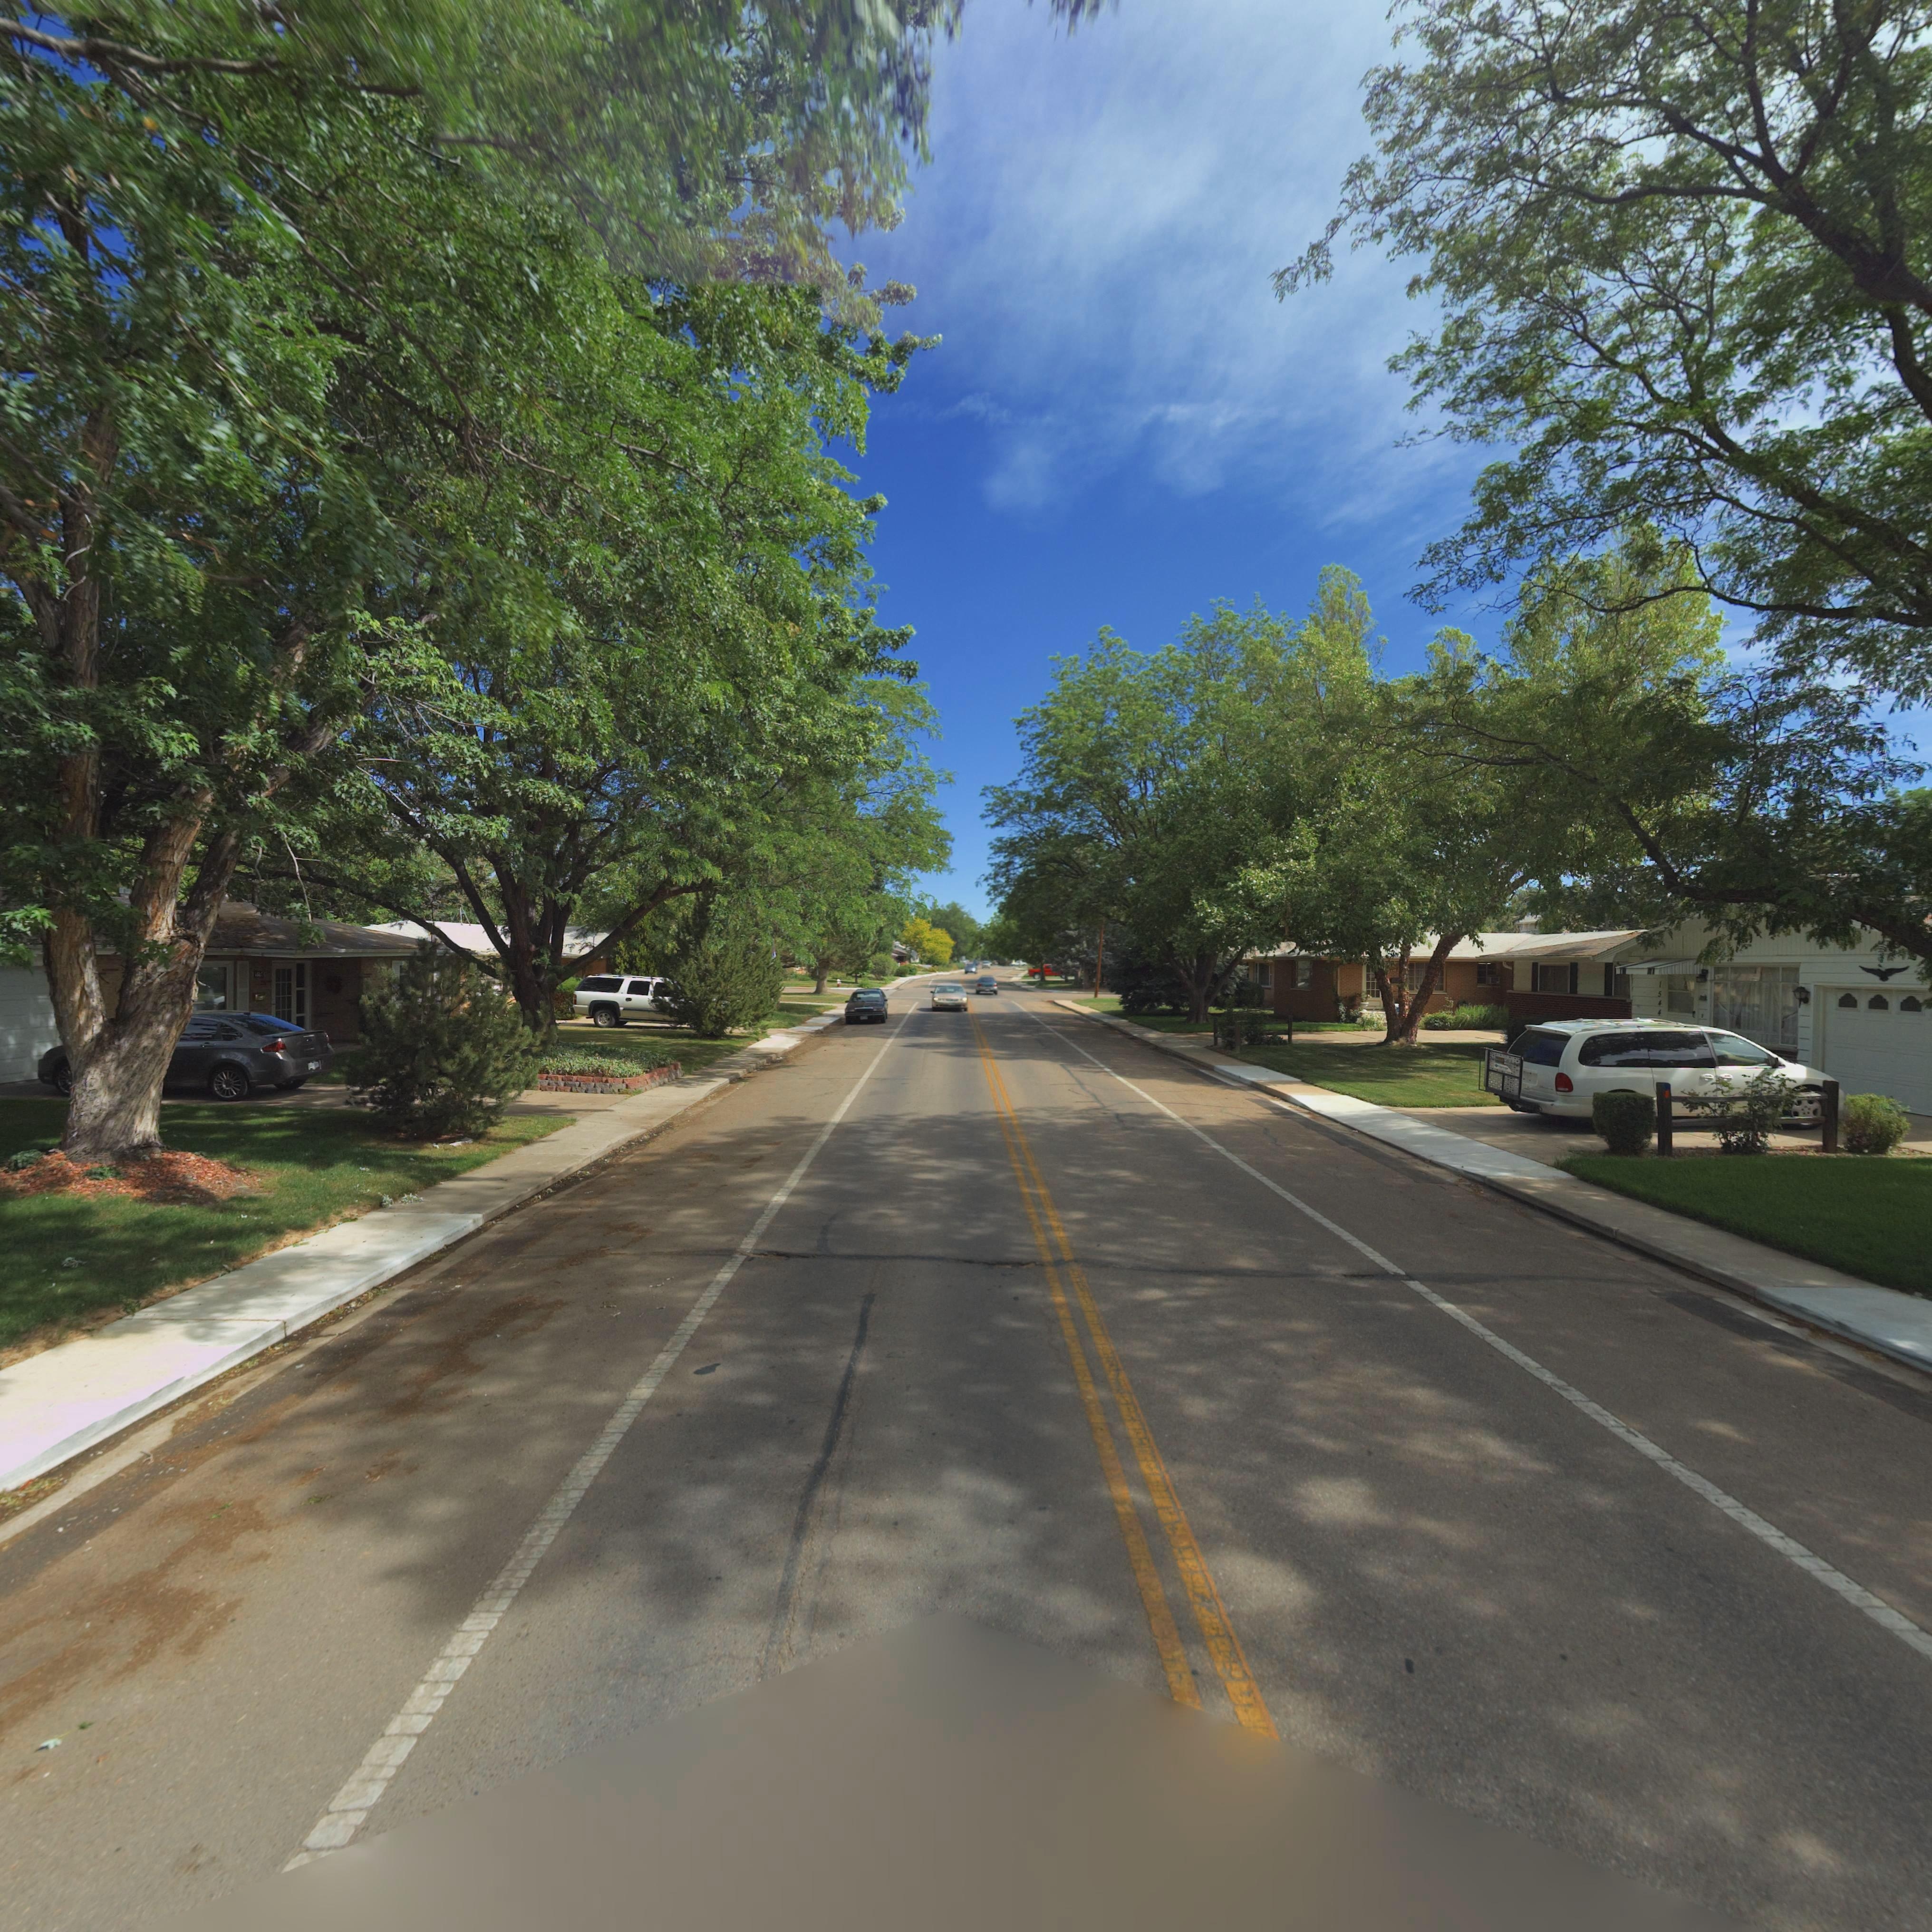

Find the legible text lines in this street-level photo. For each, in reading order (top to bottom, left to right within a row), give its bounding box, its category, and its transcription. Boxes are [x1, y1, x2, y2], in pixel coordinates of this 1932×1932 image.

[1657, 979, 1662, 1016] StreetNumber: 1544